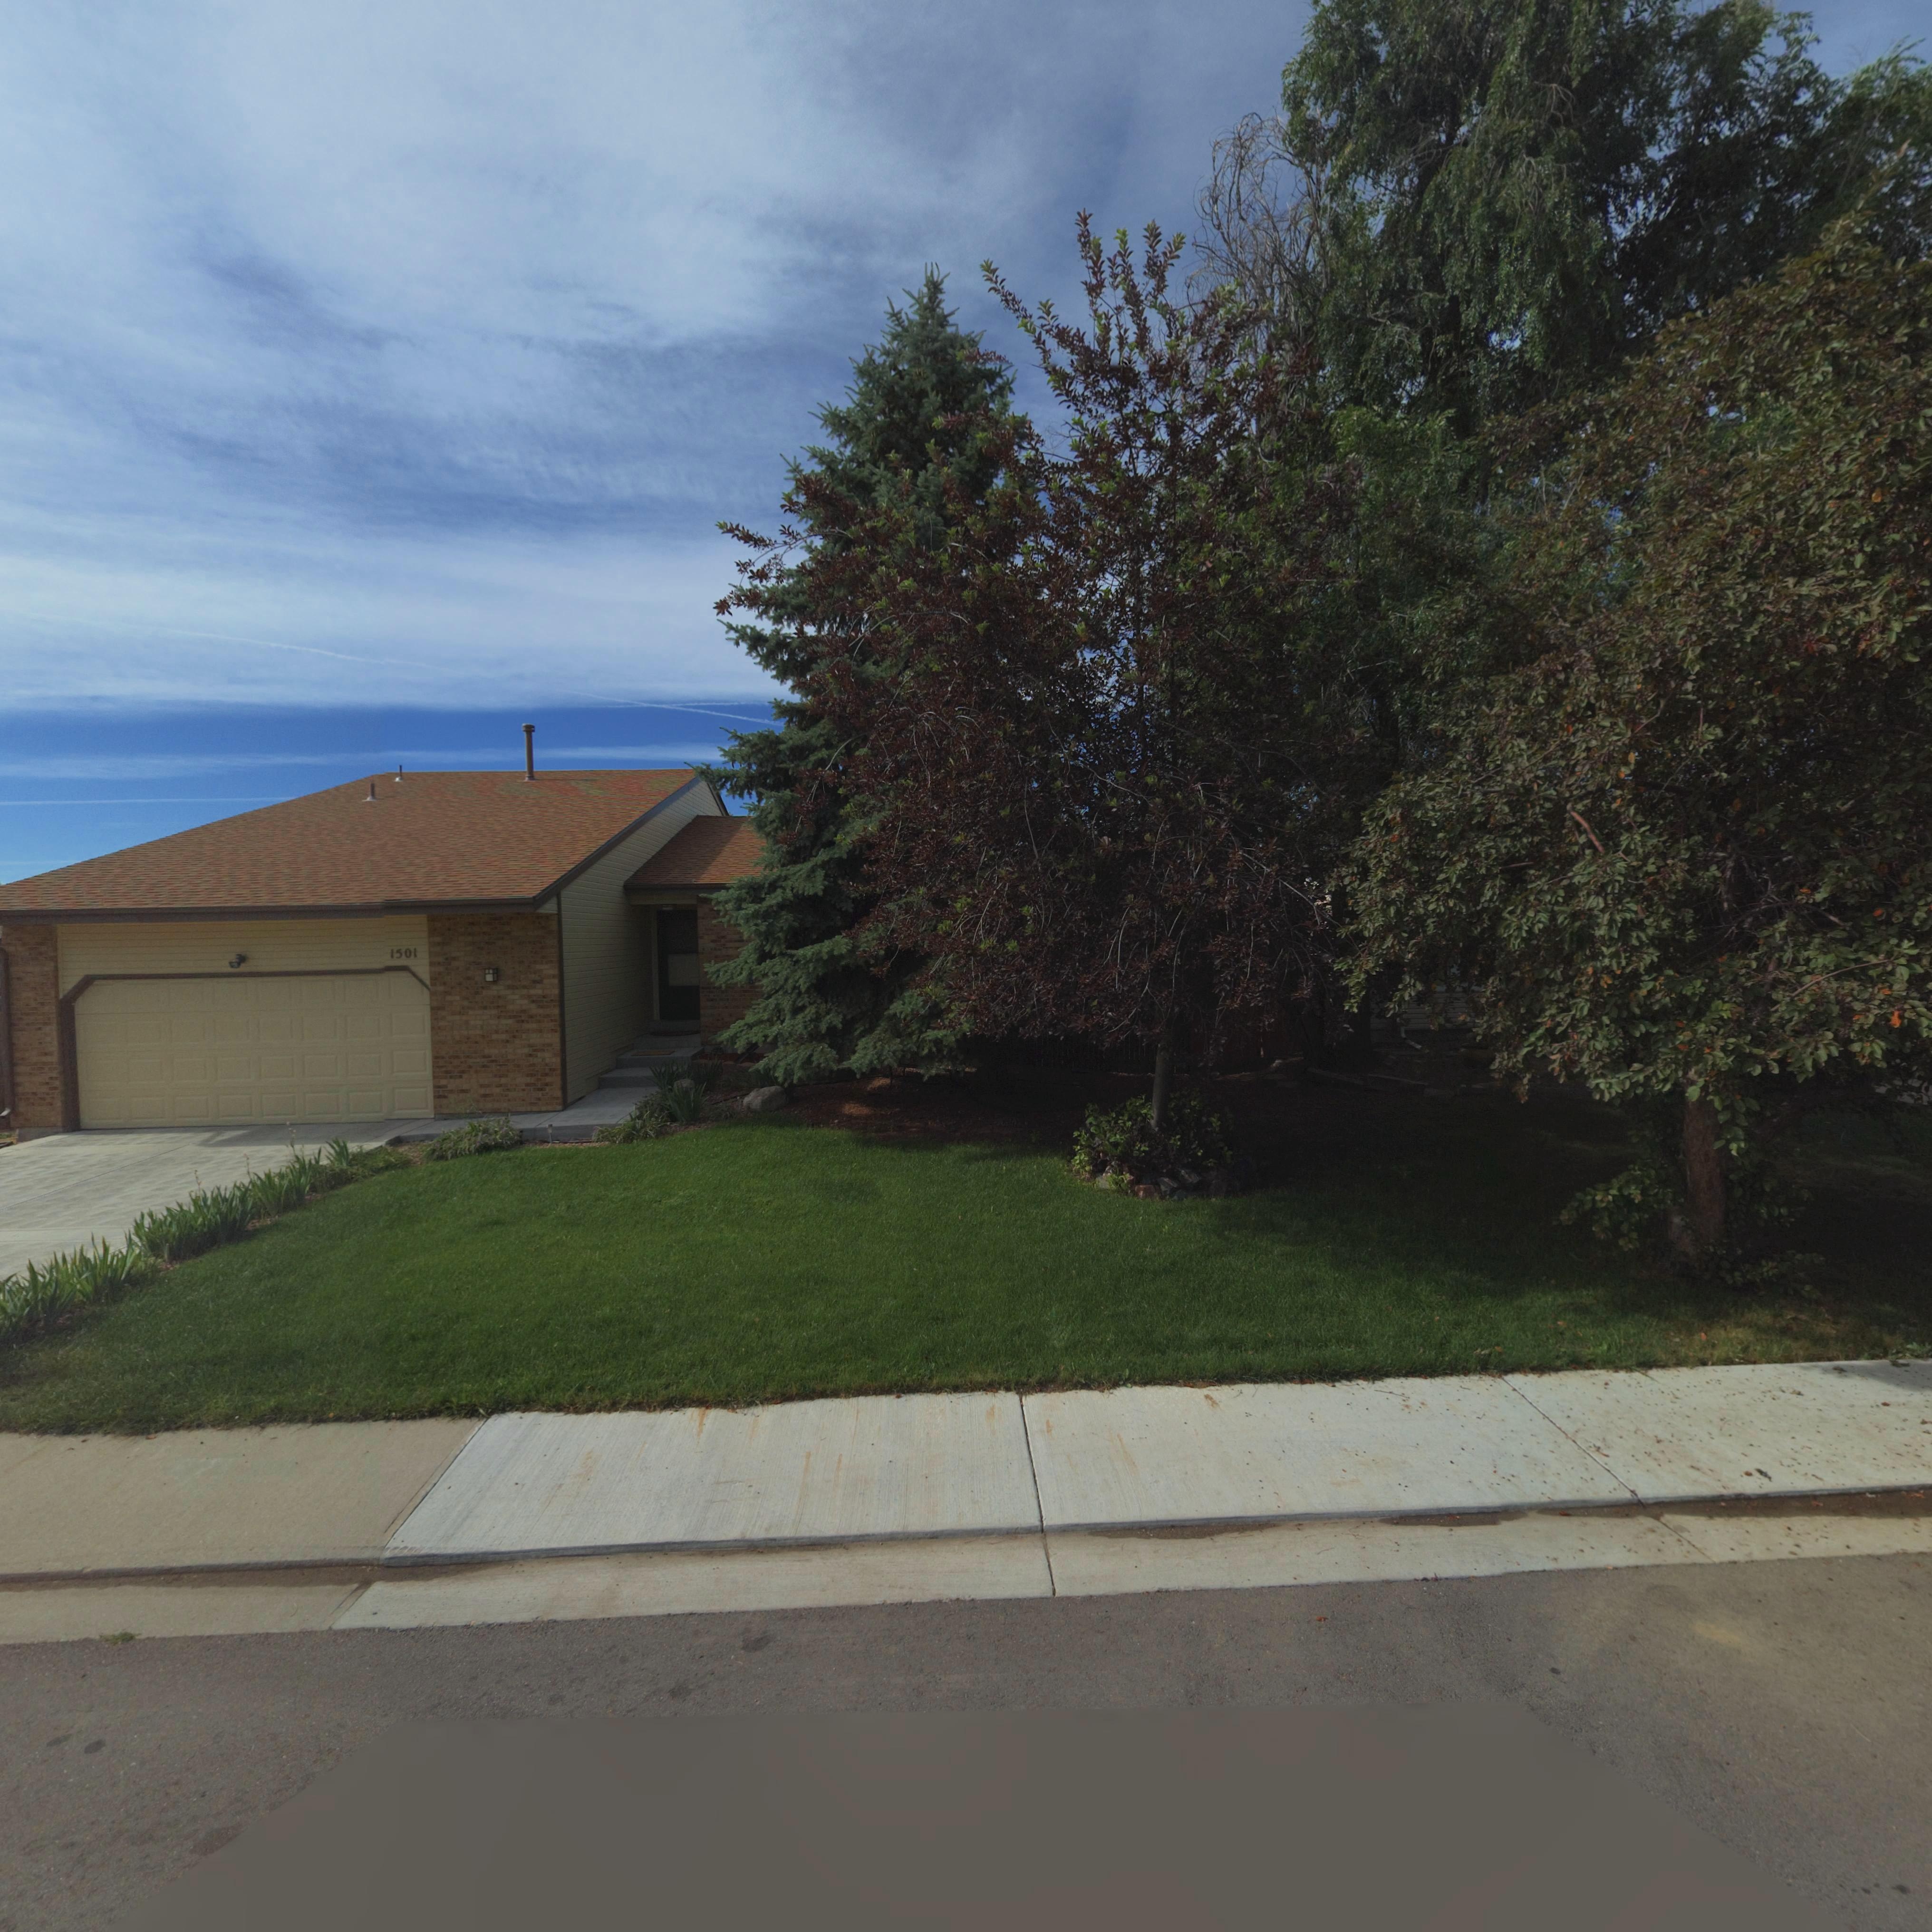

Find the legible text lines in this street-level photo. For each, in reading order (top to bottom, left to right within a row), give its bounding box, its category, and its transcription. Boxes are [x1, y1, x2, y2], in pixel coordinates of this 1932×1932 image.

[389, 947, 418, 959] StreetNumber: 1501